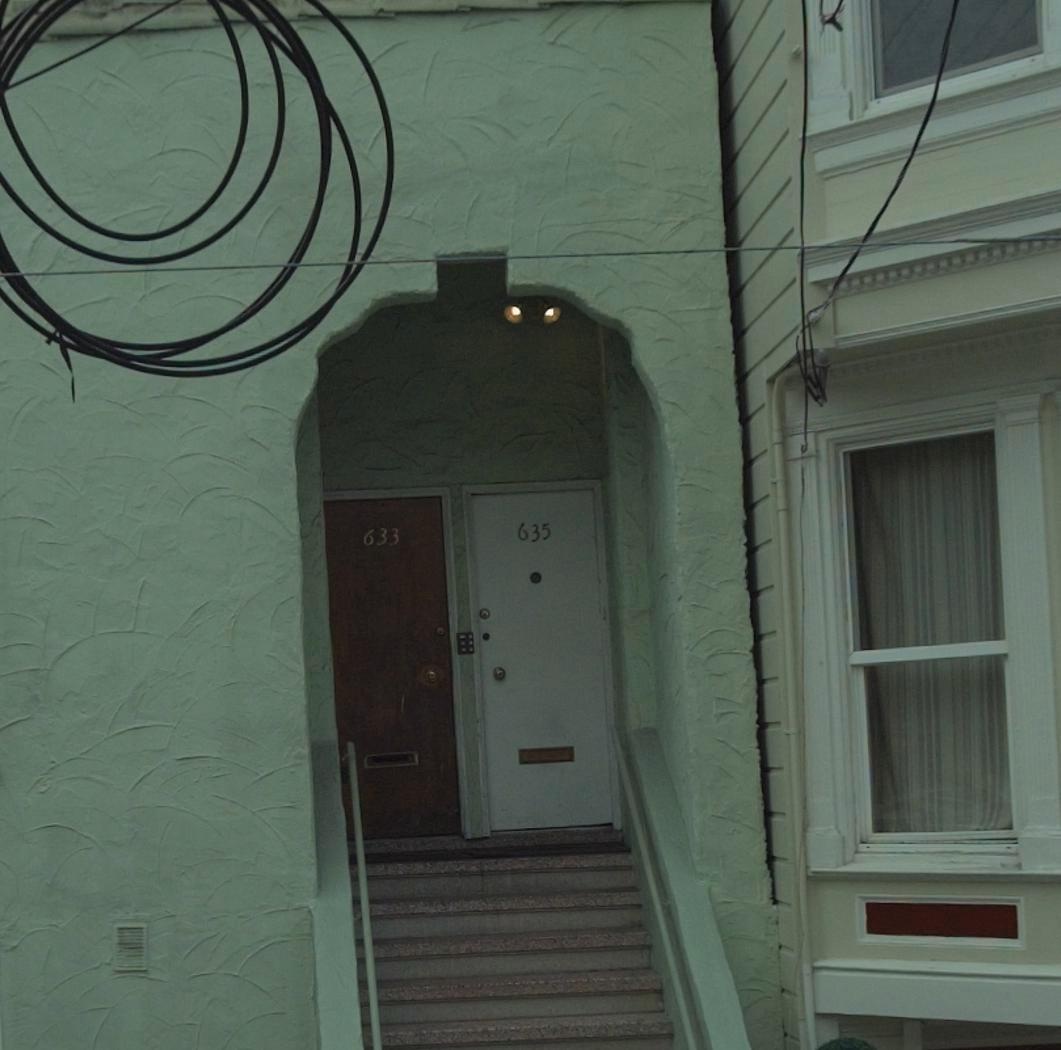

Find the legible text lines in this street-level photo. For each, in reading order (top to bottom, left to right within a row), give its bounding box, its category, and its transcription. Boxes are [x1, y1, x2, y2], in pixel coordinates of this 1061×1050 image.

[363, 527, 400, 547] StreetNumber: 633
[516, 521, 552, 543] StreetNumber: 635